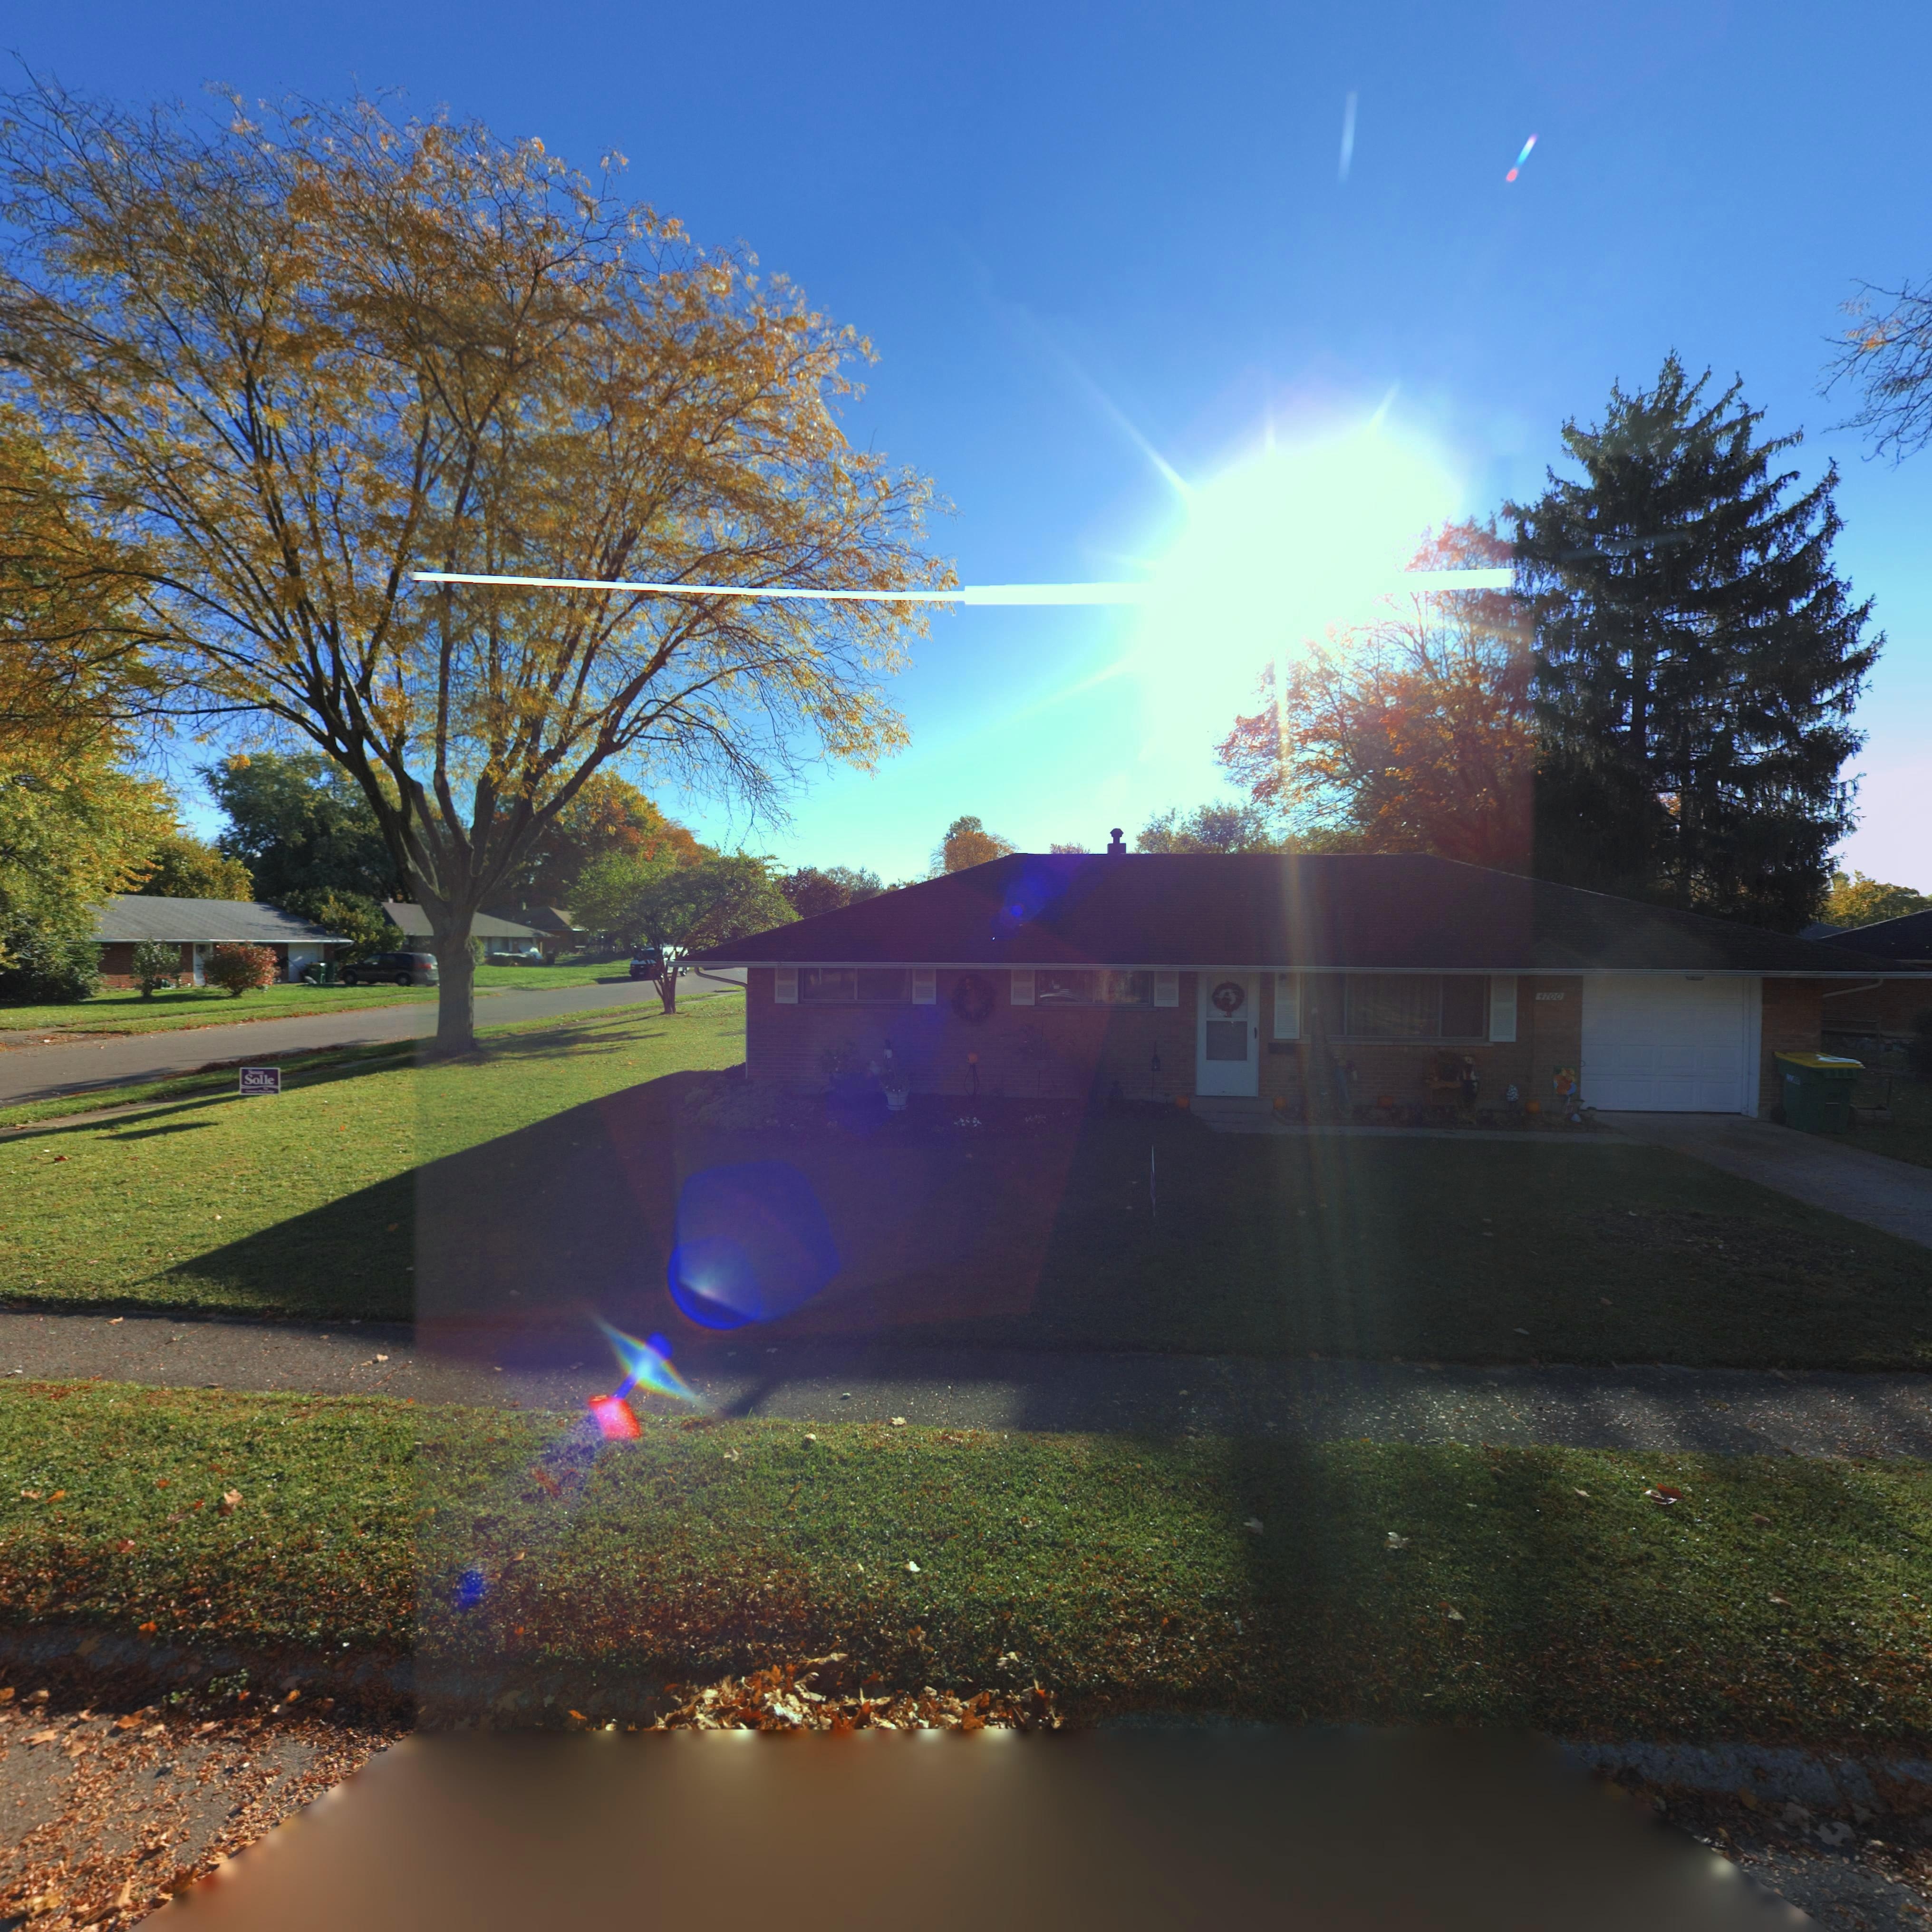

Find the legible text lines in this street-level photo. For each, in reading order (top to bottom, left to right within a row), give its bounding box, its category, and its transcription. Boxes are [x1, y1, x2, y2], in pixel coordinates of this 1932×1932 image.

[1538, 992, 1563, 1001] StreetNumber: 4700